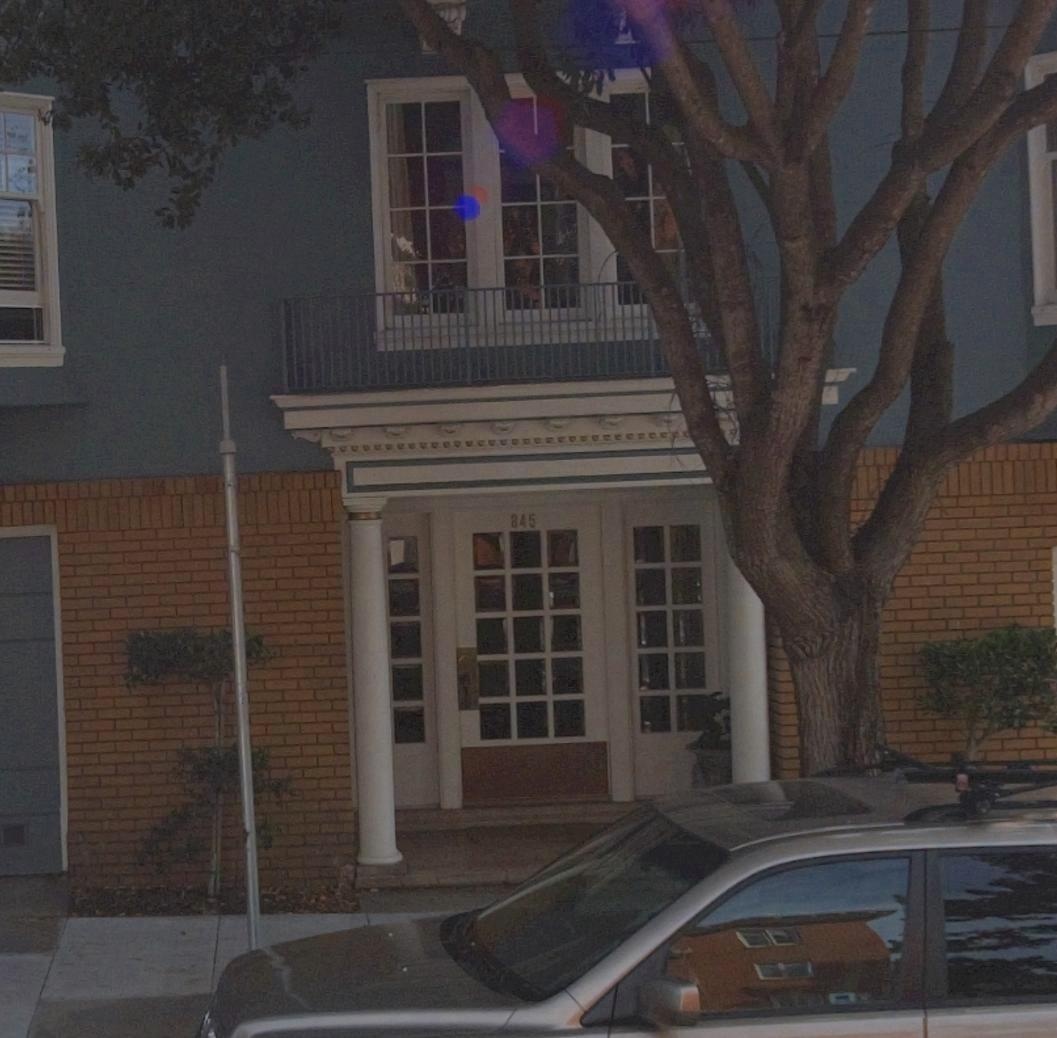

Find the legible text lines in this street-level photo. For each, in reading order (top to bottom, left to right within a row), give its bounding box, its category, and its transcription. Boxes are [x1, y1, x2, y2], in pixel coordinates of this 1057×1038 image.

[509, 511, 538, 529] StreetNumber: 845